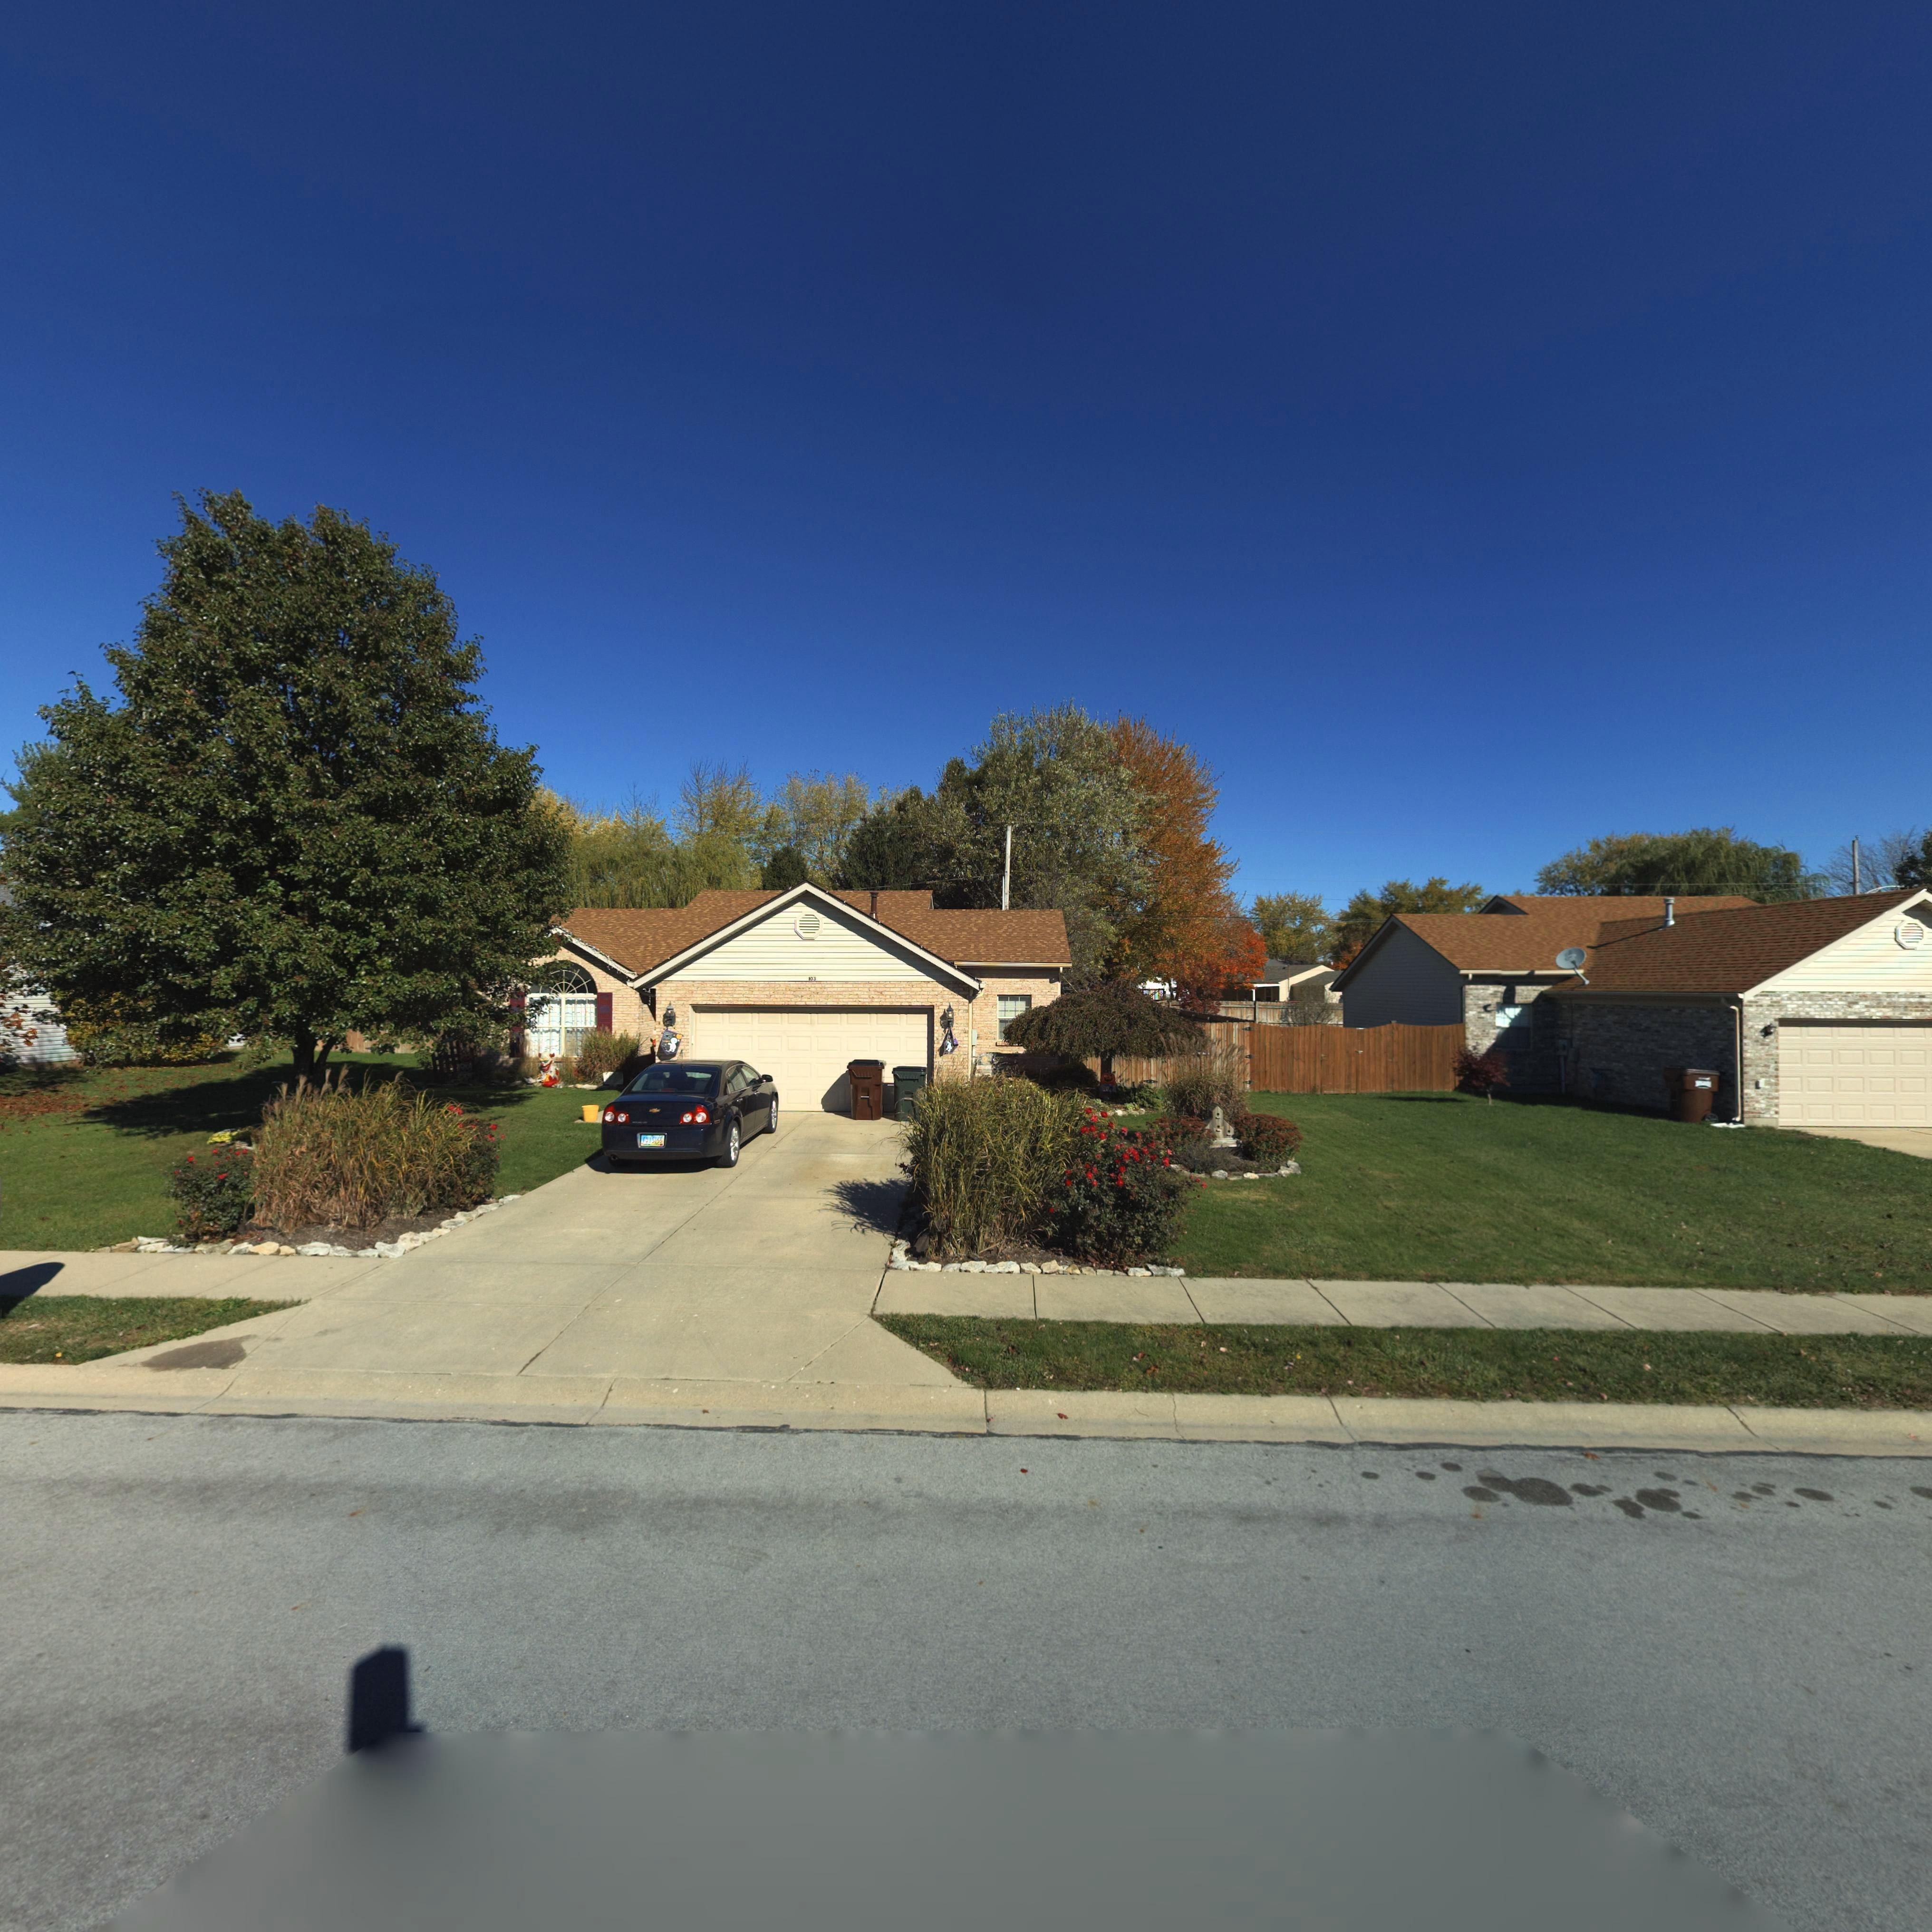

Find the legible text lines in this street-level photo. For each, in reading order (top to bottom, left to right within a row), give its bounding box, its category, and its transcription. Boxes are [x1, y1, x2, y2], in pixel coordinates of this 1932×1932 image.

[808, 976, 816, 981] StreetNumber: 103
[642, 1136, 663, 1144] None: ***5155